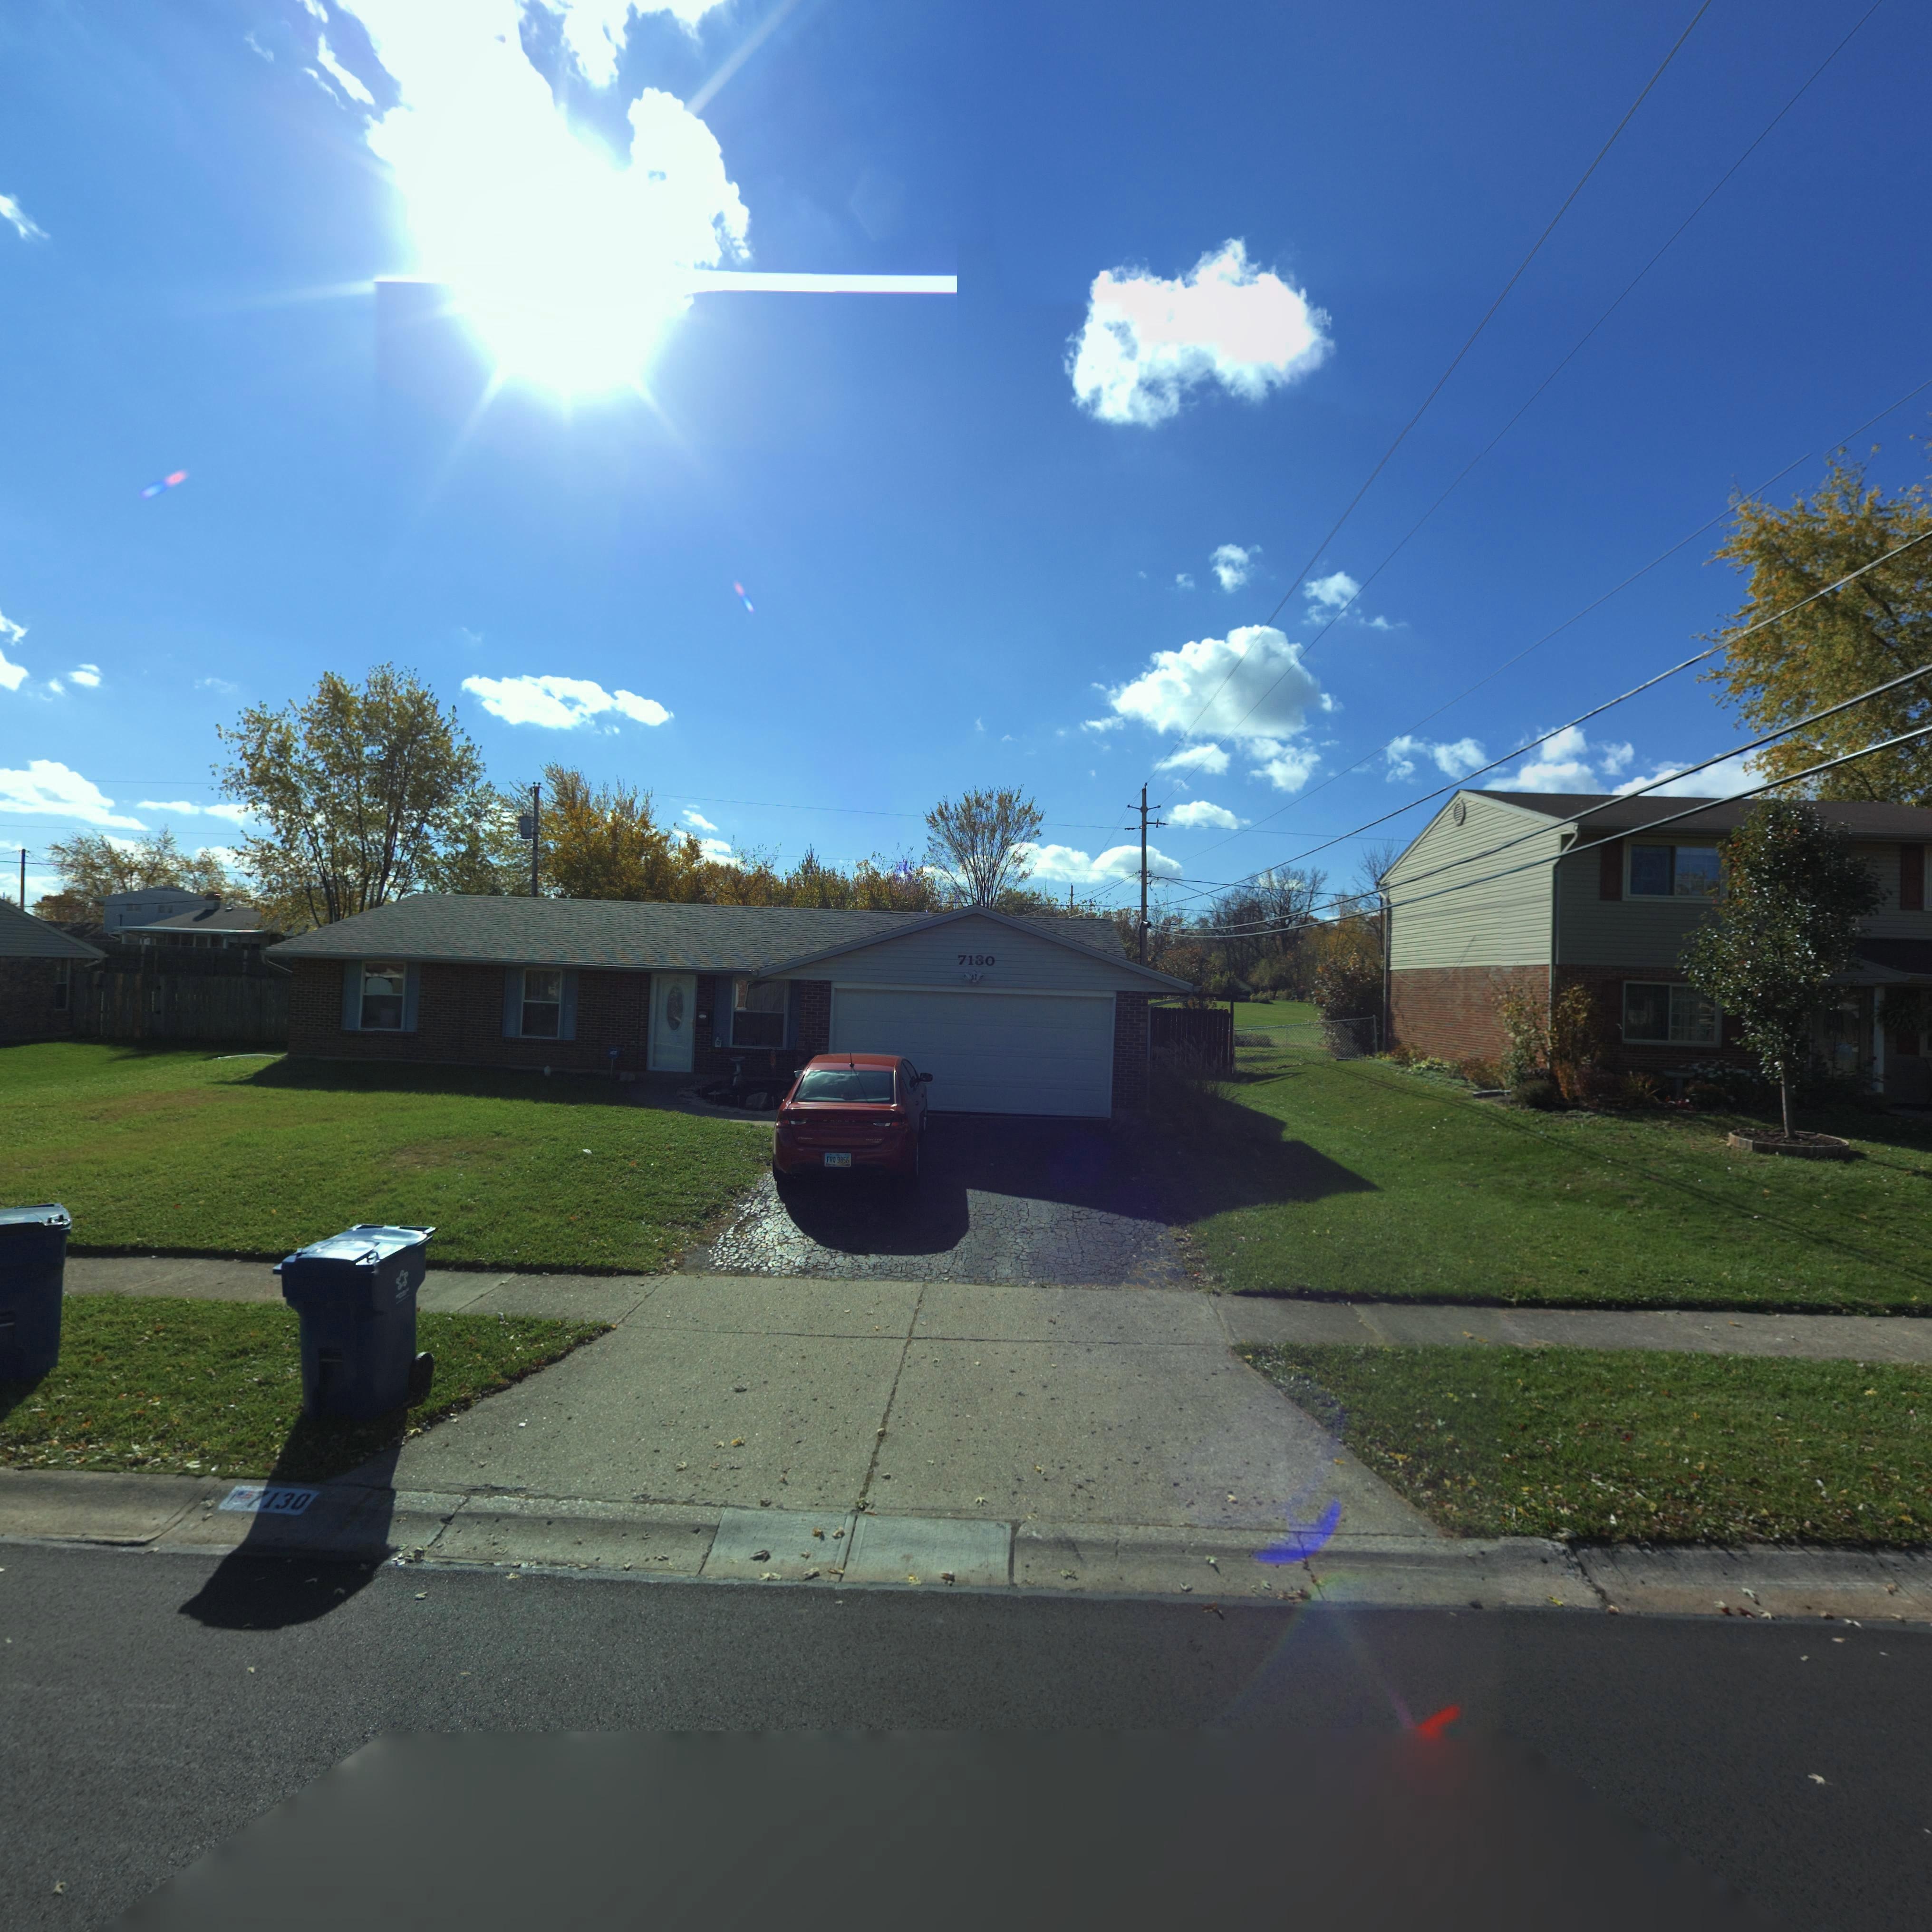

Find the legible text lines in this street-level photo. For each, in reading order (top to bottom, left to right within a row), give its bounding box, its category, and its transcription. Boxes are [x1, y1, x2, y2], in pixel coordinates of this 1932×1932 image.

[956, 954, 996, 967] StreetNumber: 7130
[242, 1488, 313, 1513] StreetNumber: 7130